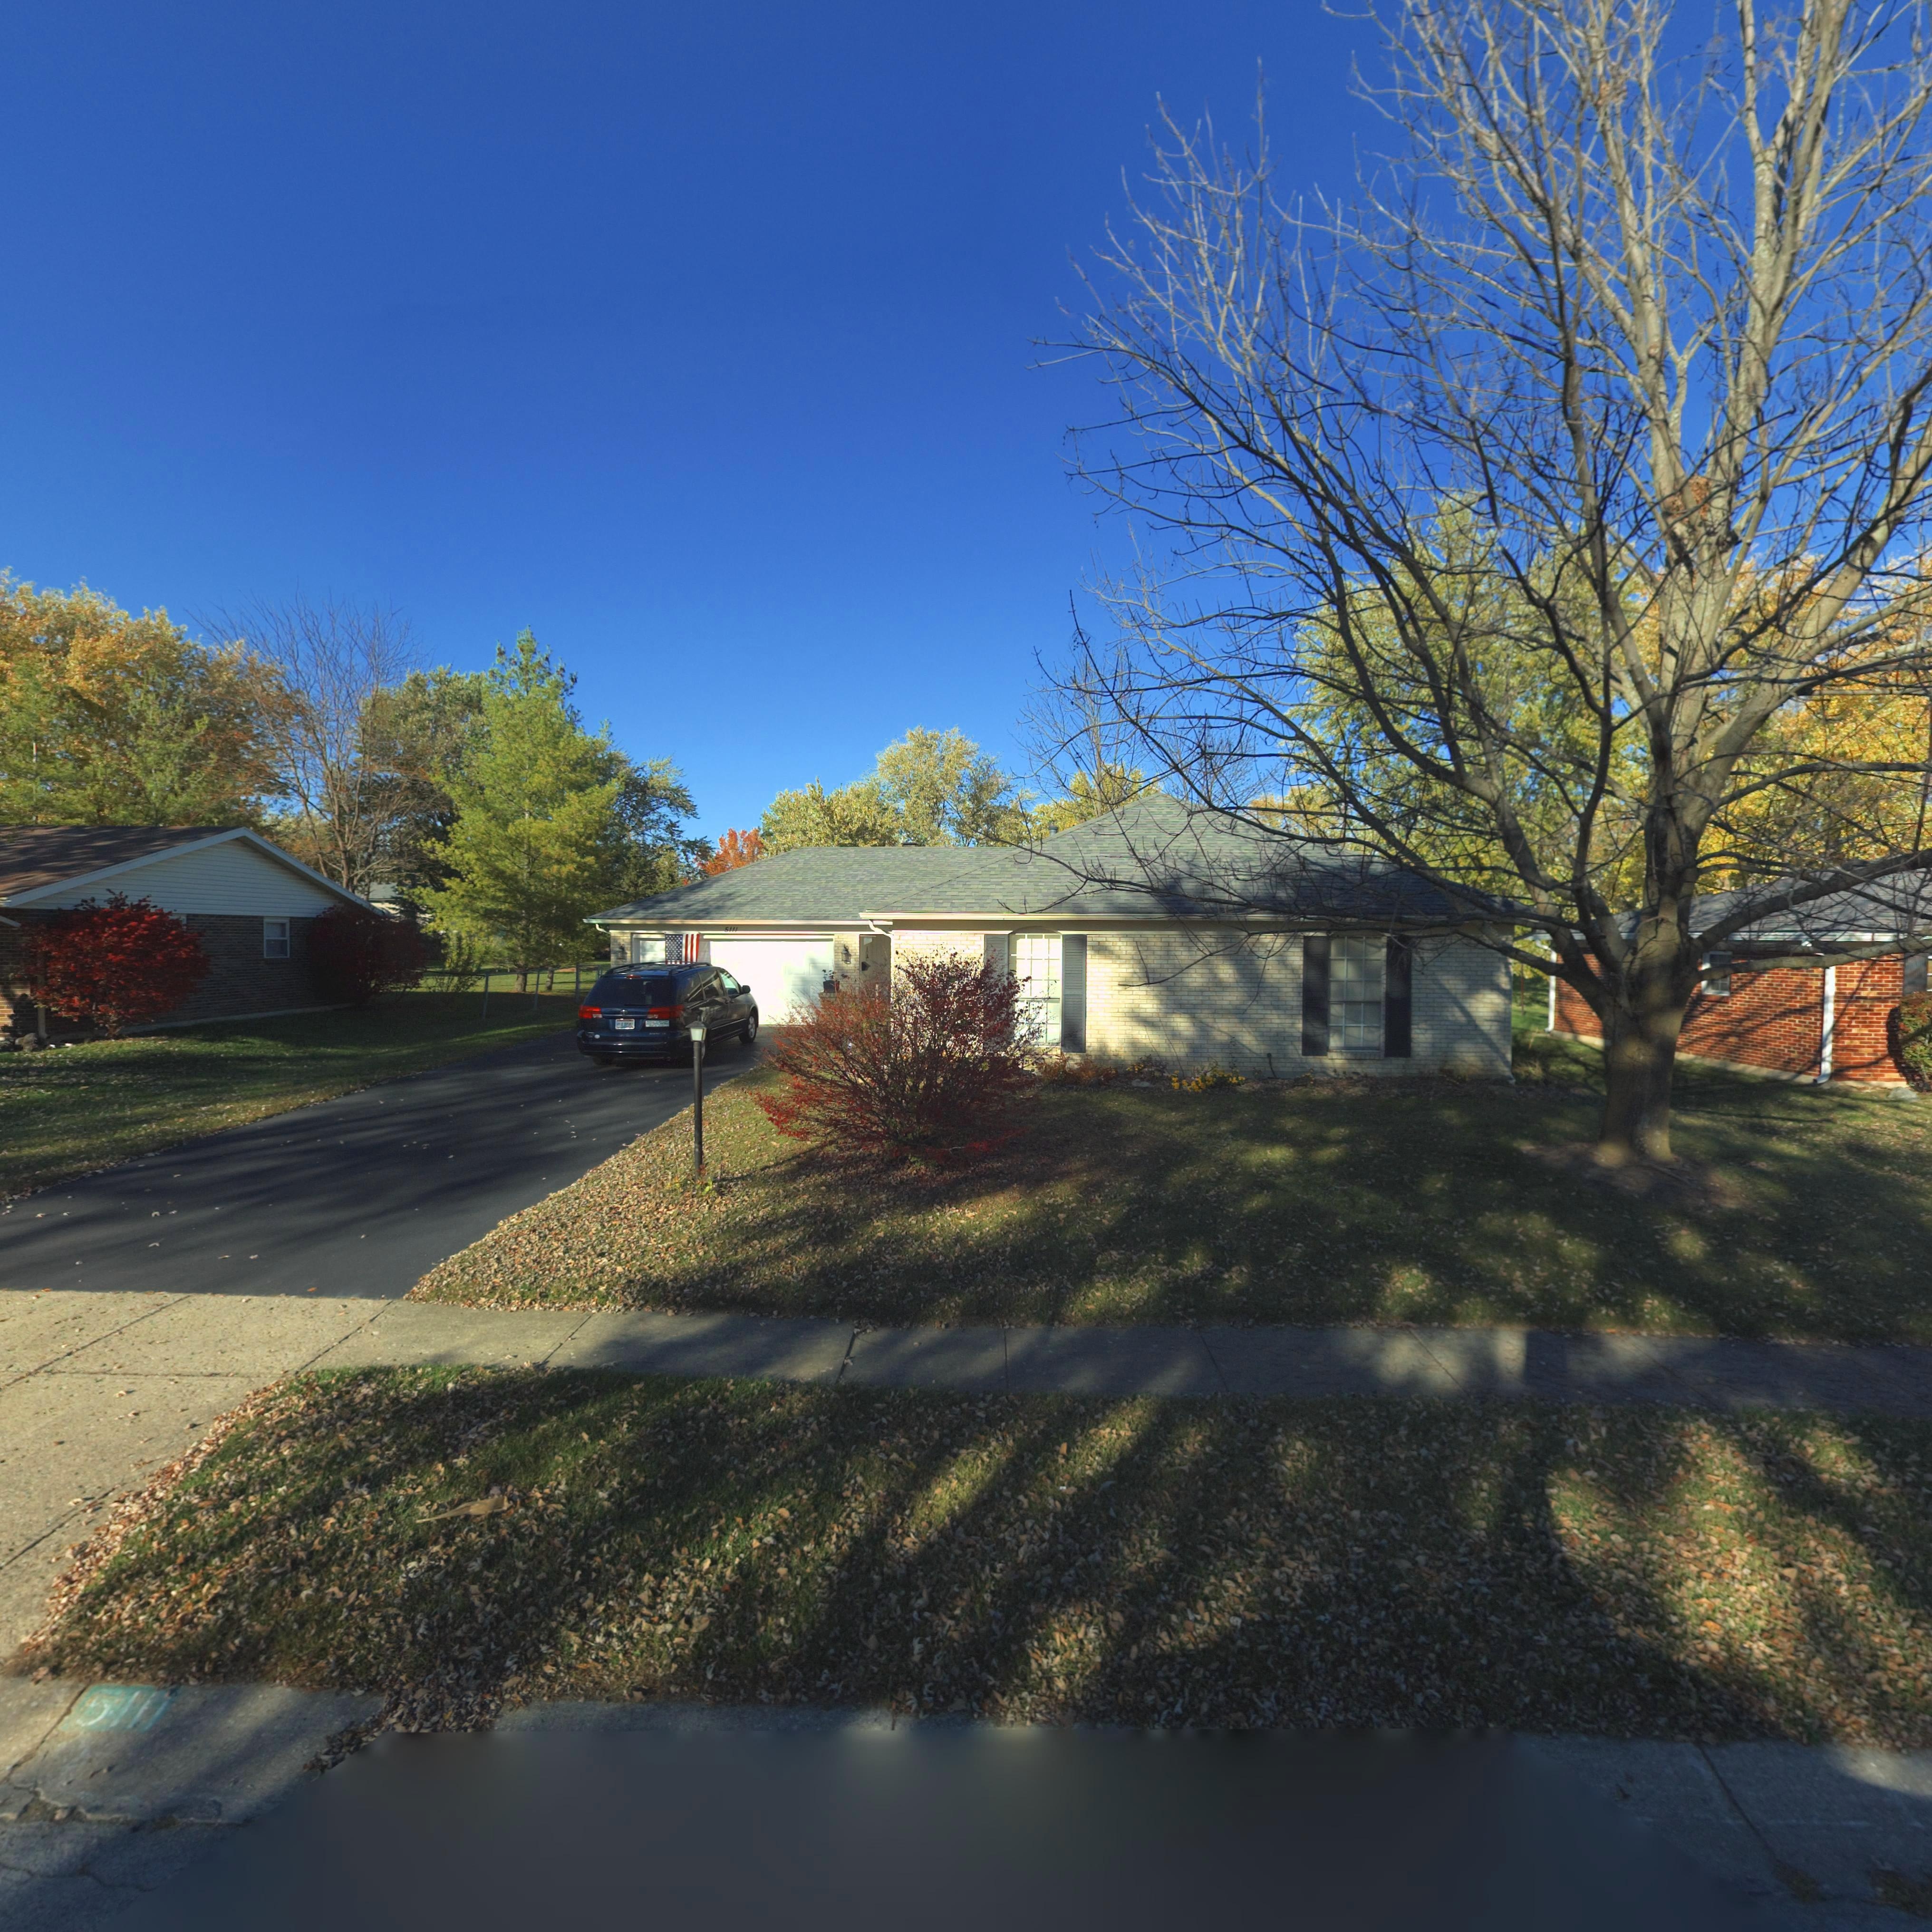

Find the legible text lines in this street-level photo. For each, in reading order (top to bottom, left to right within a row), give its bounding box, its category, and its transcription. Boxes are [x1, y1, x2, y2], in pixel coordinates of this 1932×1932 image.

[724, 926, 738, 932] StreetNumber: 5111